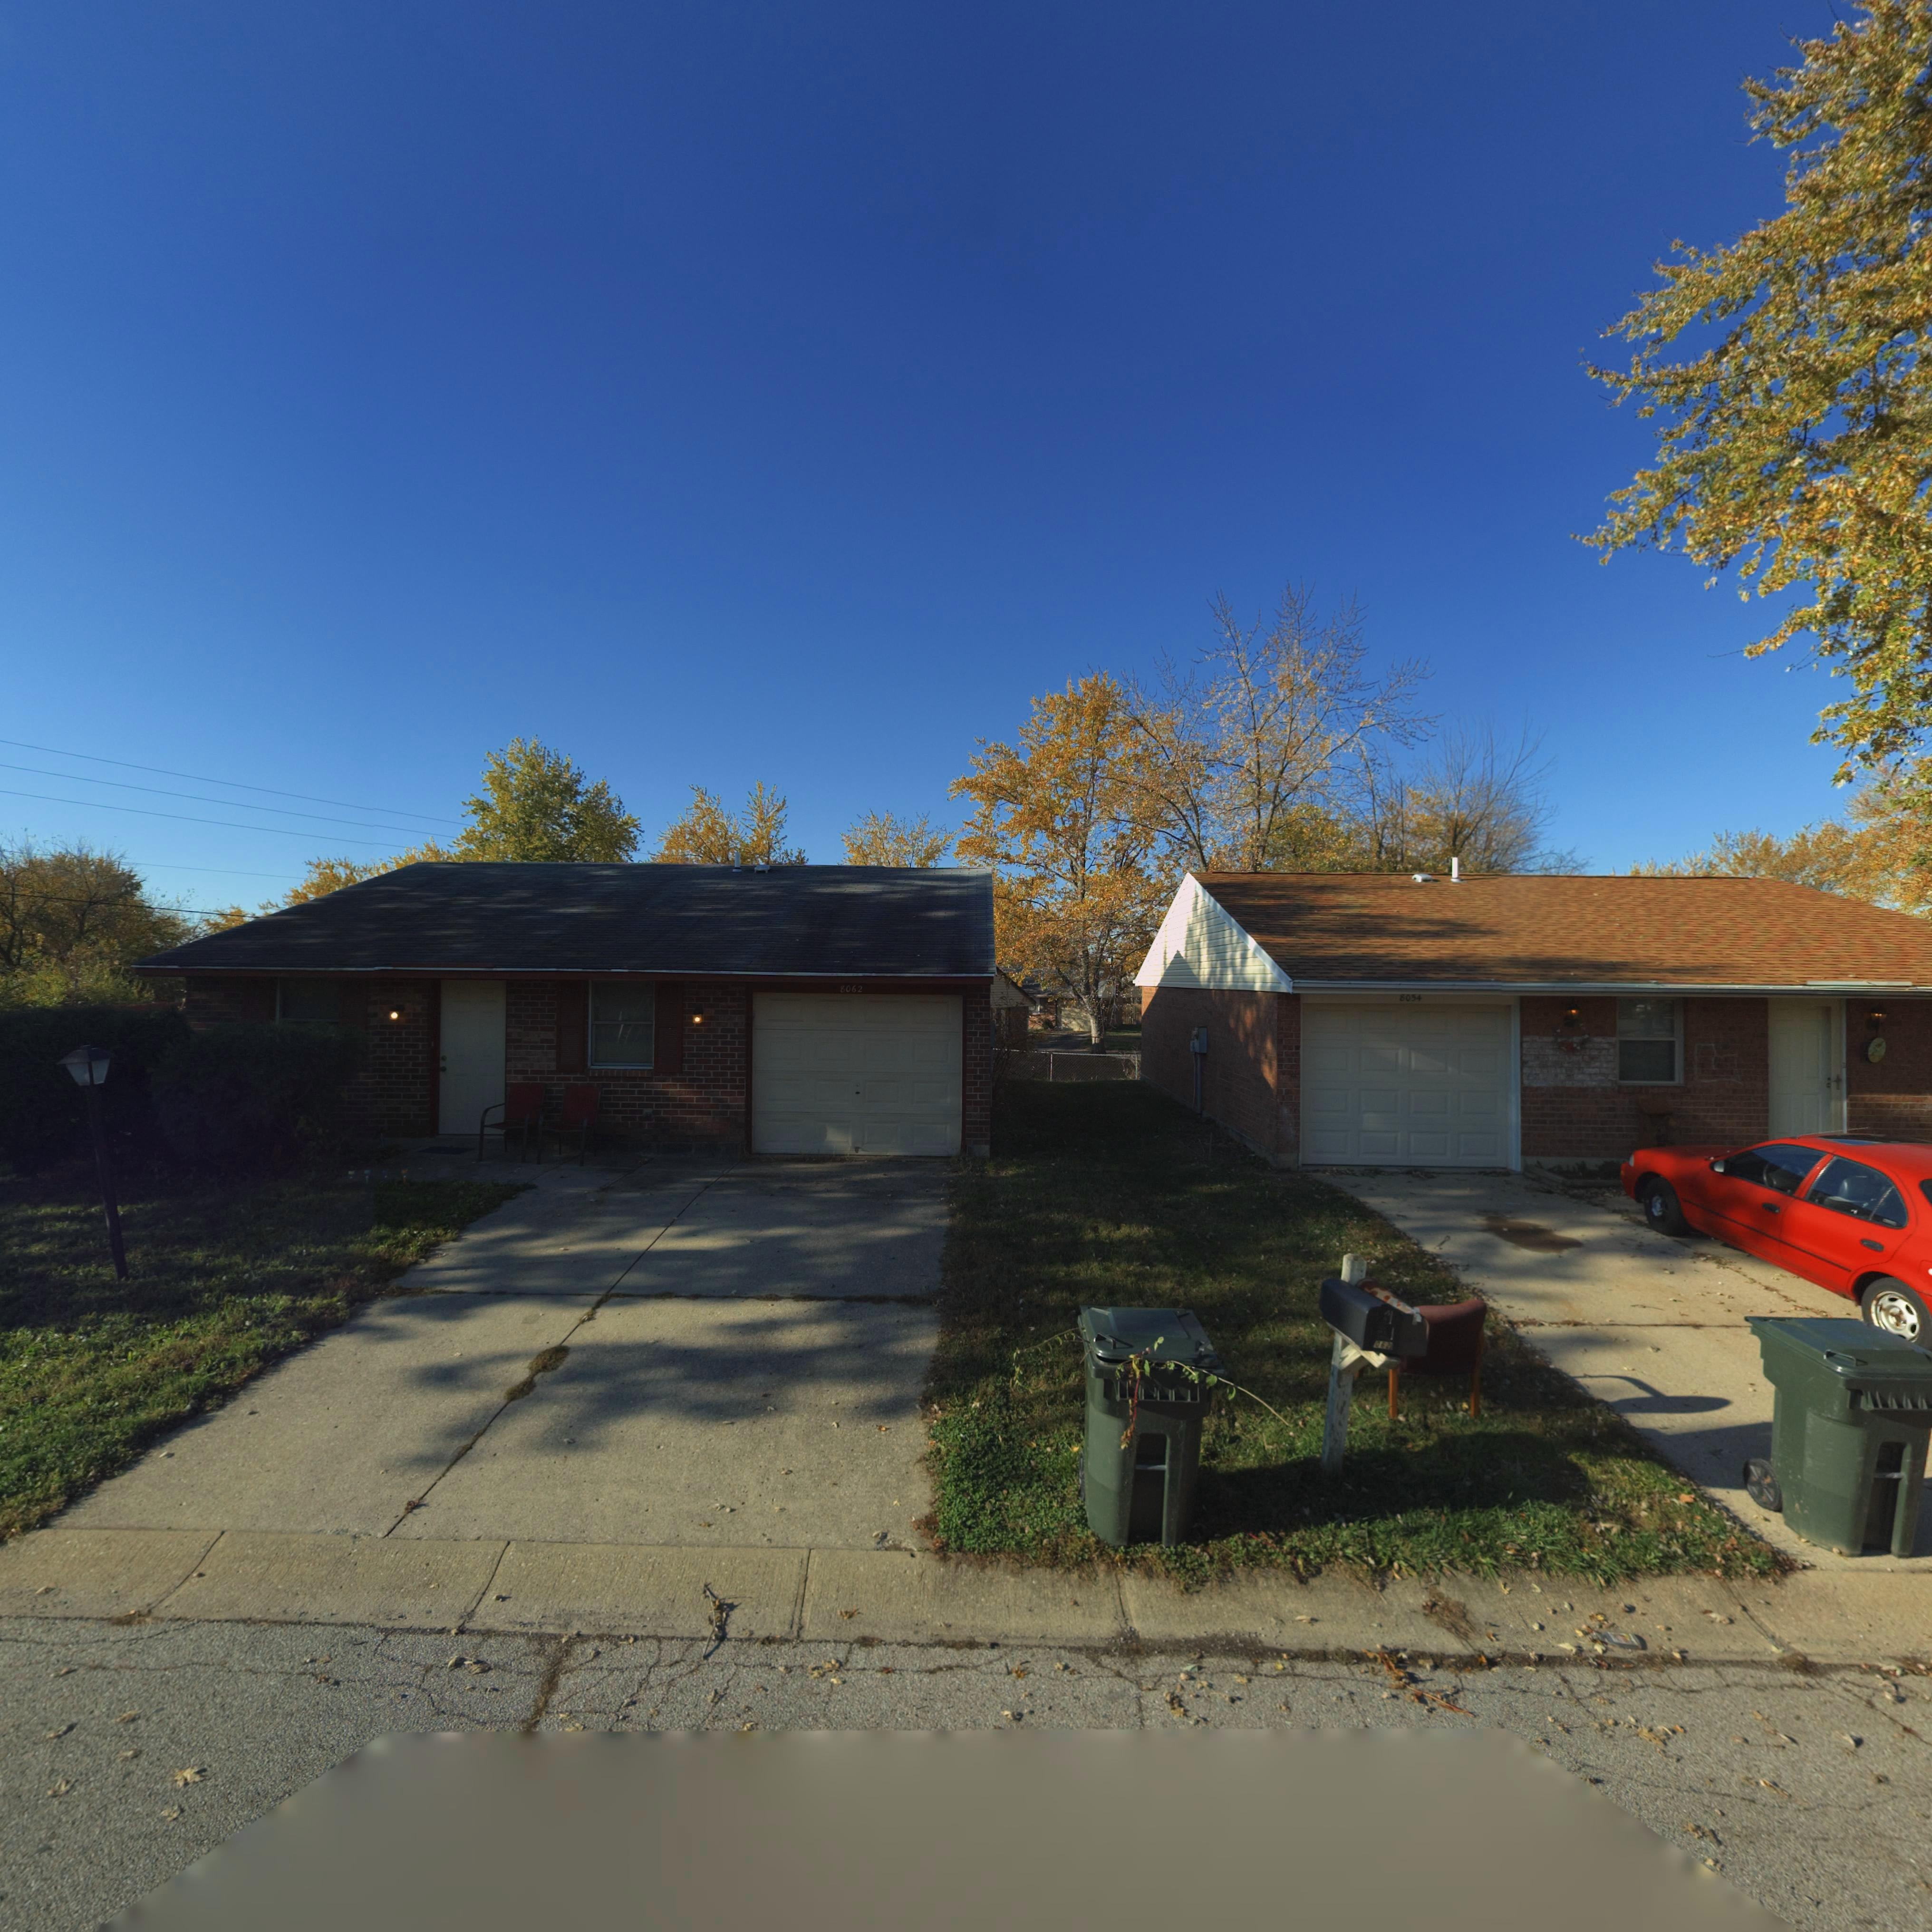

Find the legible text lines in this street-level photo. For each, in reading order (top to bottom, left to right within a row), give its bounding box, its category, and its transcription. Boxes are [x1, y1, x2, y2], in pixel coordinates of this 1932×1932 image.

[839, 984, 864, 994] StreetNumber: 8062
[1398, 993, 1423, 1003] StreetNumber: 8054